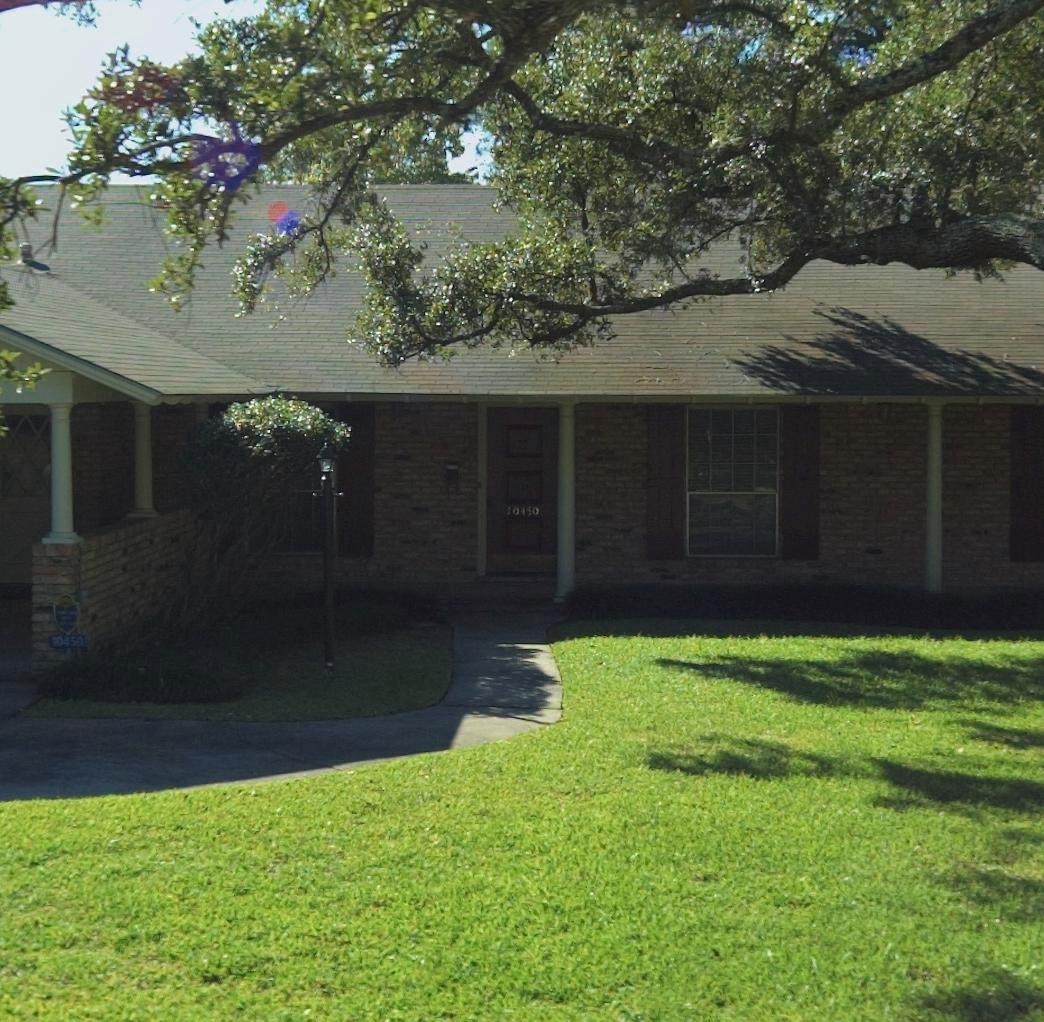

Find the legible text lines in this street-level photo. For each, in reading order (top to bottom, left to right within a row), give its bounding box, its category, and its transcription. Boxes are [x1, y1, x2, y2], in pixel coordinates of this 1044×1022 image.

[504, 503, 542, 519] StreetNumber: 10450
[50, 634, 86, 650] StreetNumber: 10450